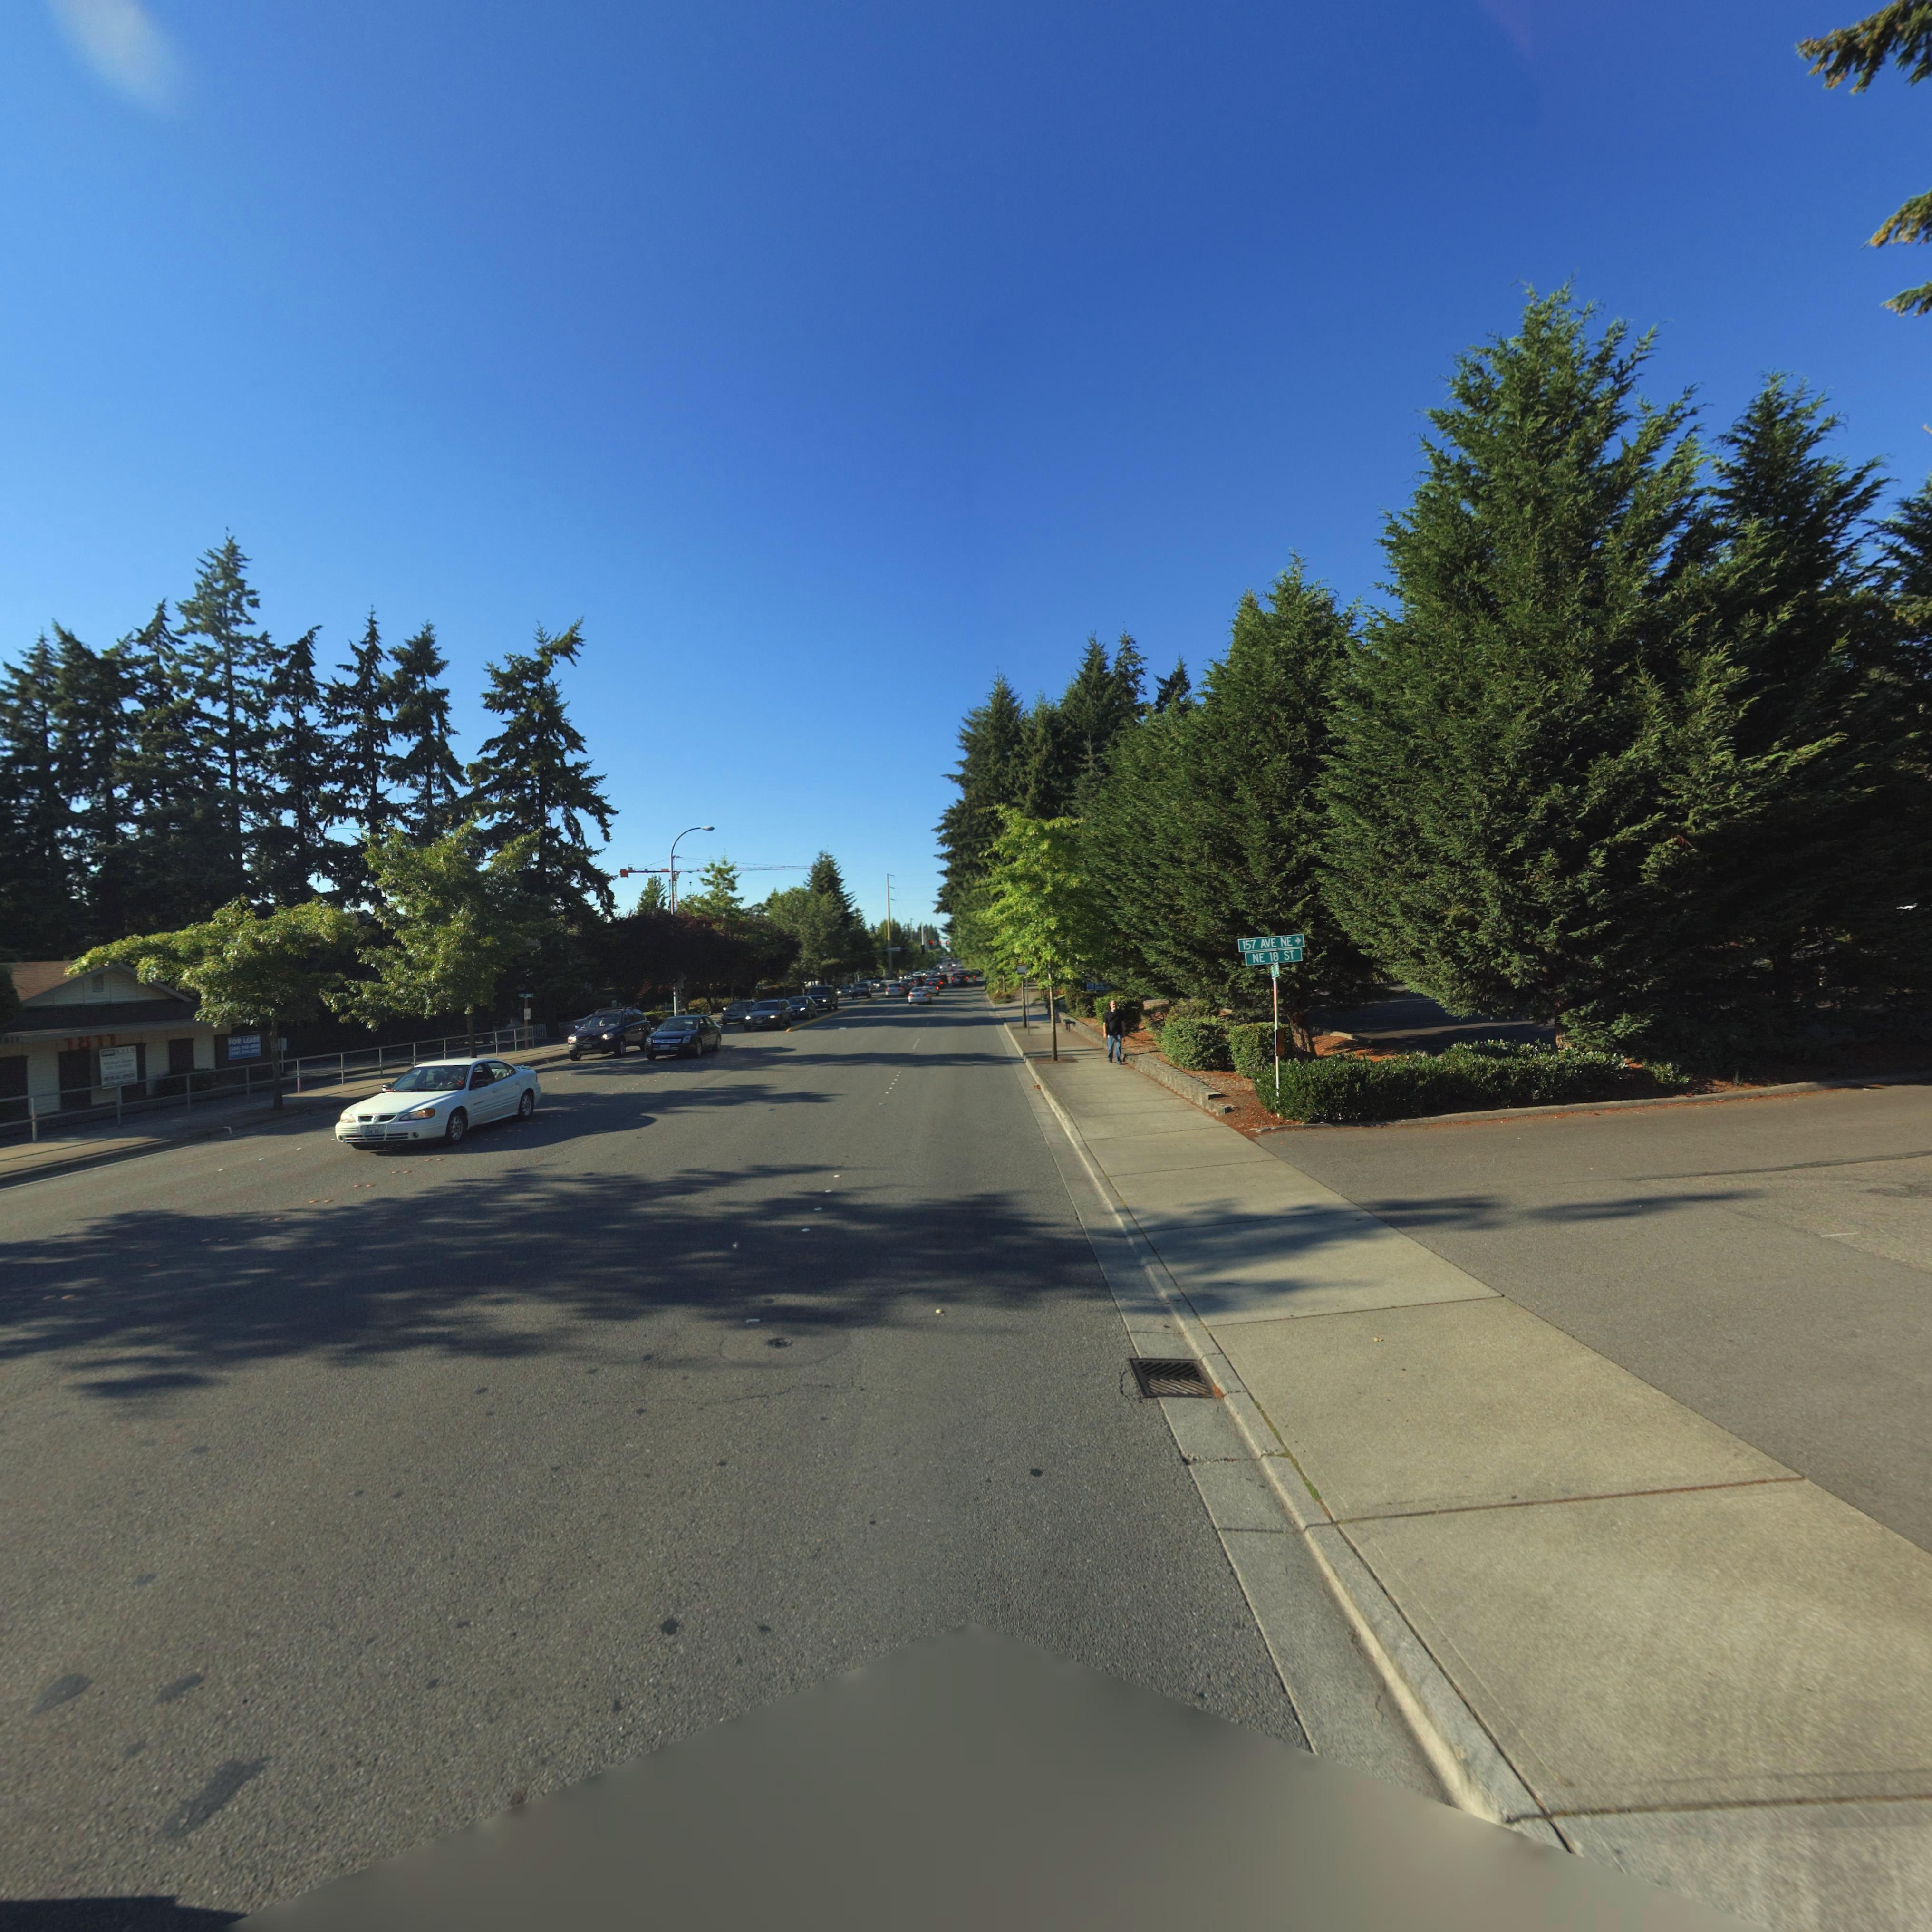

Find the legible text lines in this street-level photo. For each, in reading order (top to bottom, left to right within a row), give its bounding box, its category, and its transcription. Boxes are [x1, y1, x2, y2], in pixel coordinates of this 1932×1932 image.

[1242, 937, 1292, 950] StreetName: 157 AVE NE
[1252, 950, 1296, 964] StreetName: NE 18 ST